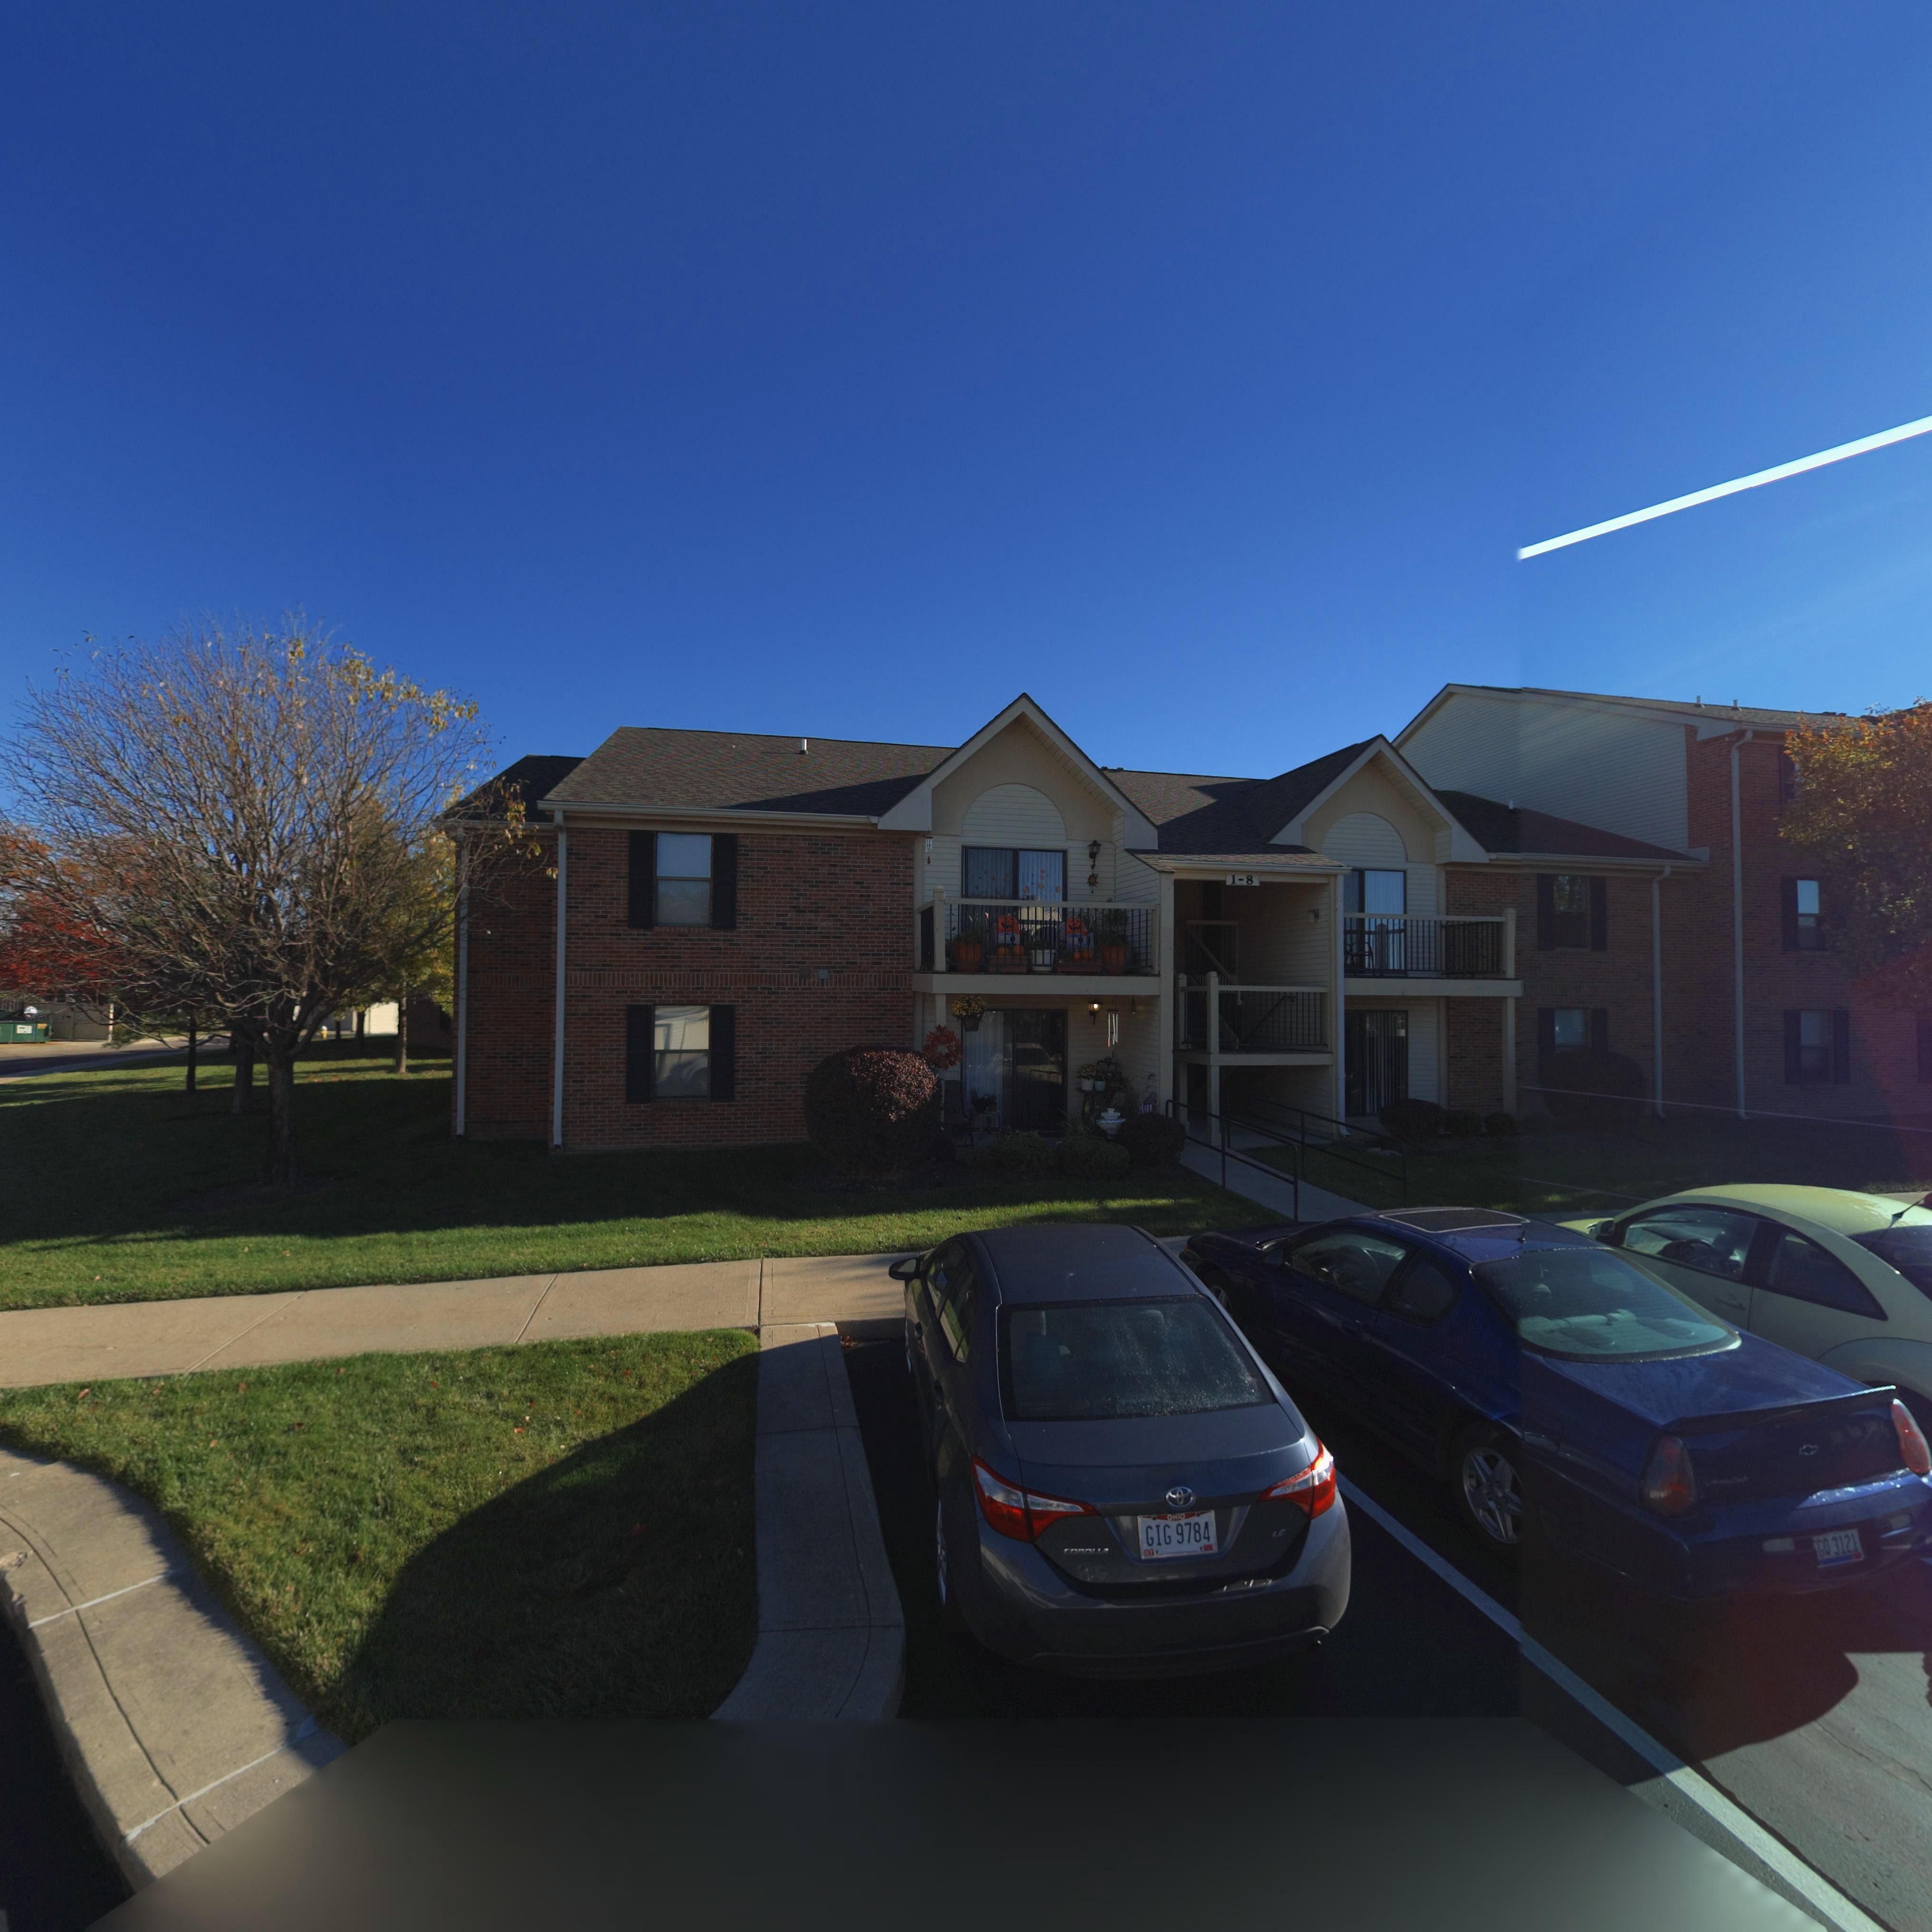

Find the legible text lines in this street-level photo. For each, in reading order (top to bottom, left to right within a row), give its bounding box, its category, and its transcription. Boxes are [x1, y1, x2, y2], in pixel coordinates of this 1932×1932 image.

[1230, 874, 1255, 886] StreetNumber: 1-8